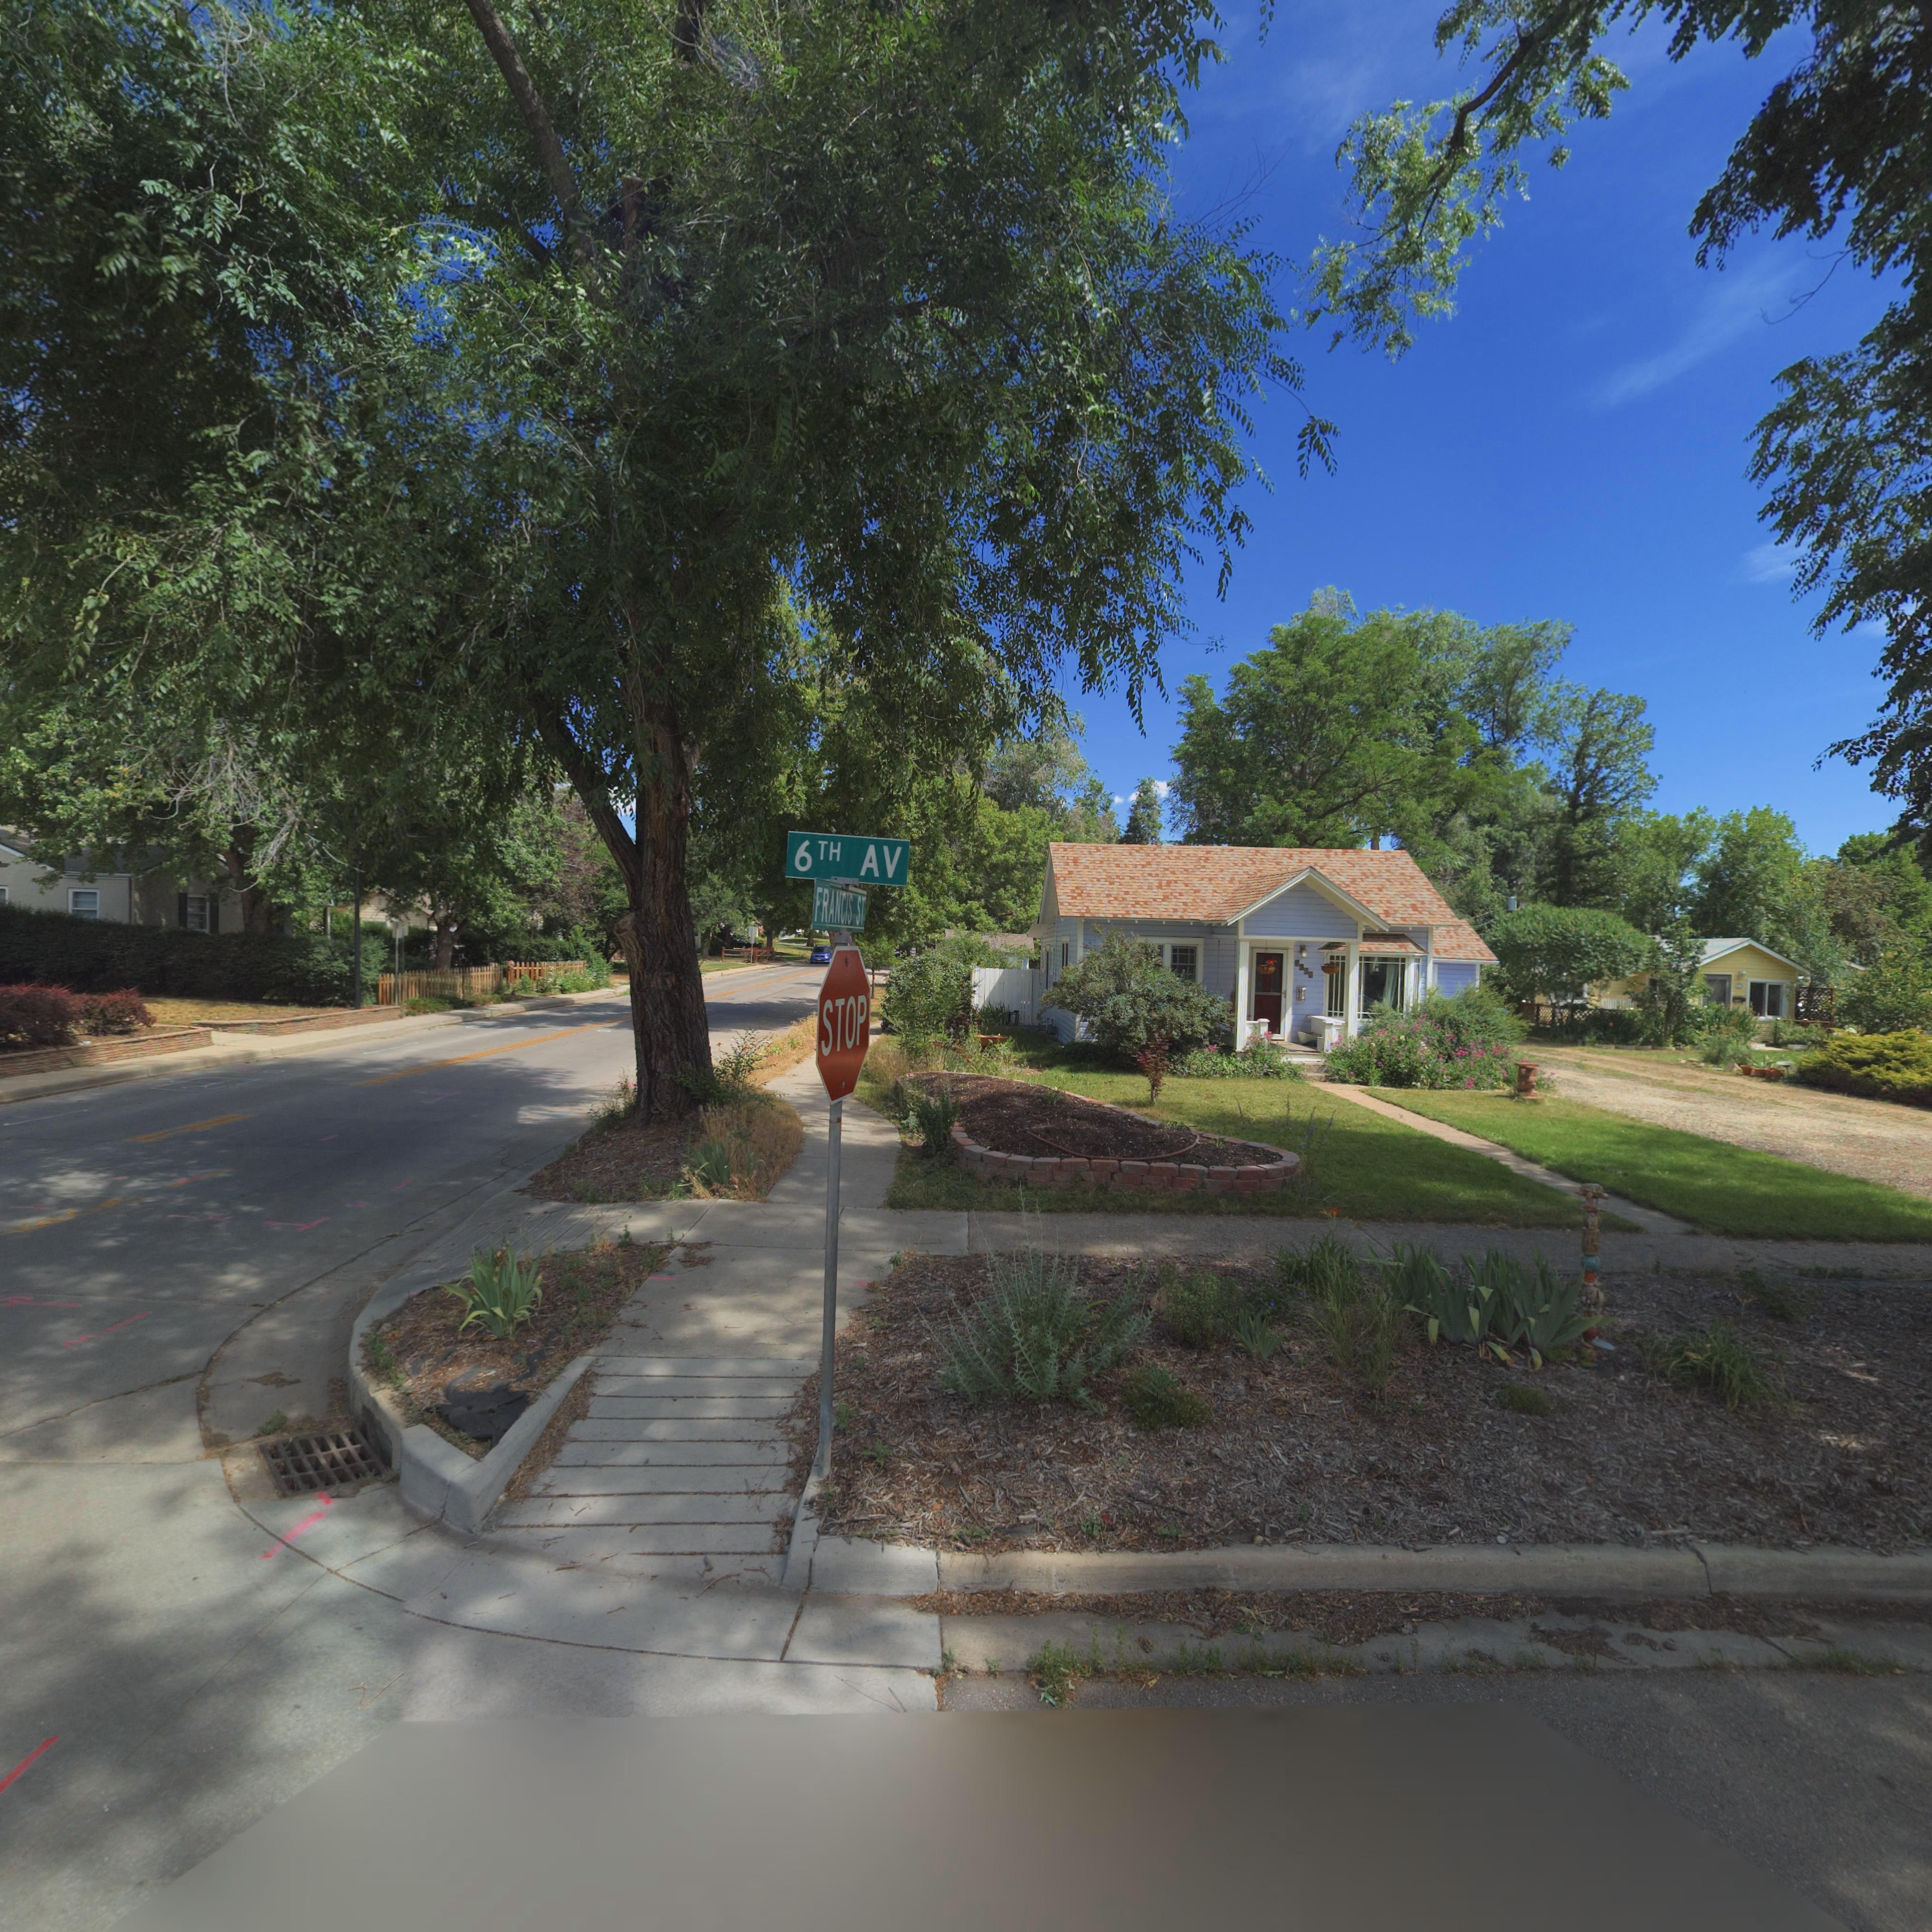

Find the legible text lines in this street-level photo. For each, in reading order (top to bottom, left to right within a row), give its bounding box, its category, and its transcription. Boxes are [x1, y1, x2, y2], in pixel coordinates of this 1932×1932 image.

[794, 839, 903, 879] StreetName: 6TH AV
[813, 885, 867, 927] StreetName: FRANCIS ST
[1295, 959, 1313, 978] StreetNumber: *3**